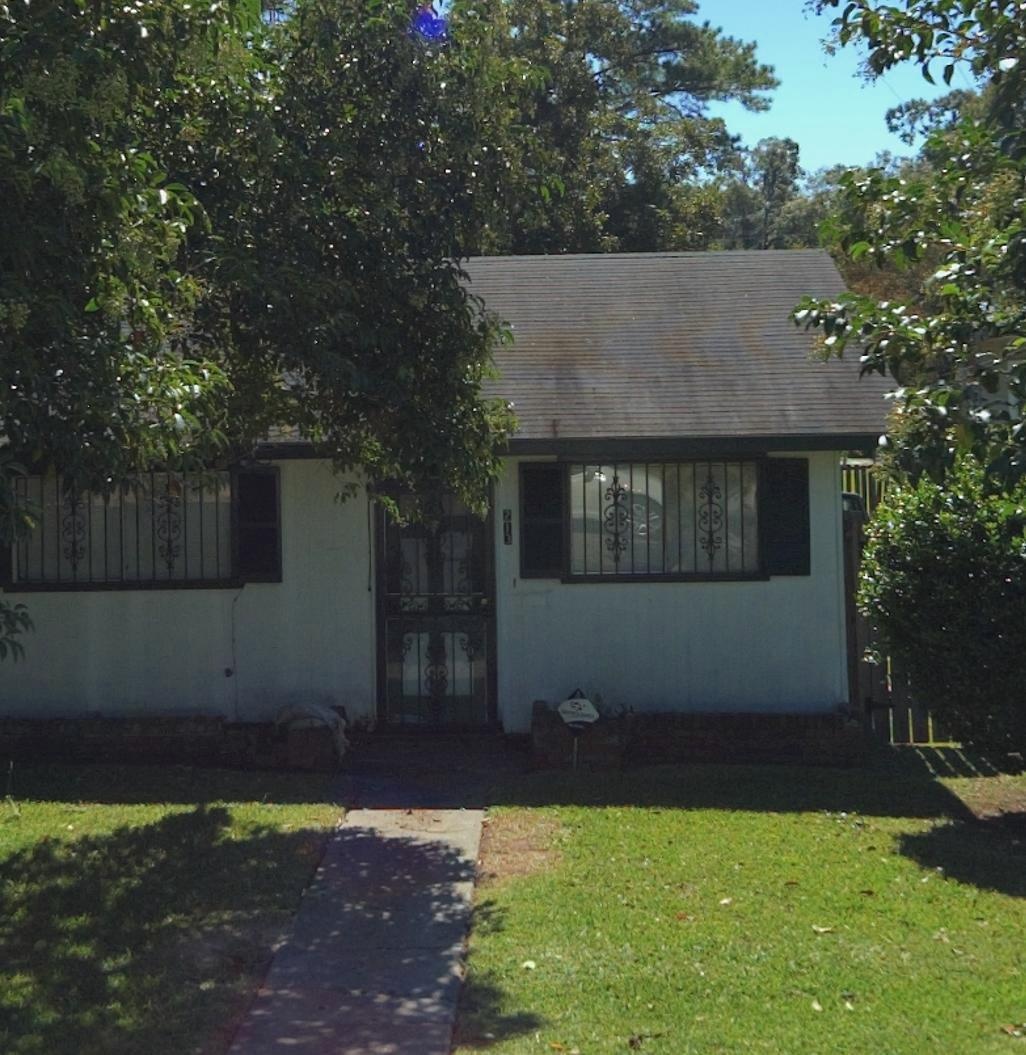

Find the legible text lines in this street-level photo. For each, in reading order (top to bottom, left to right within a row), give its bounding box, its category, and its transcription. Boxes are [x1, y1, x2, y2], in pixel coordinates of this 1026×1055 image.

[503, 510, 512, 545] StreetNumber: 213